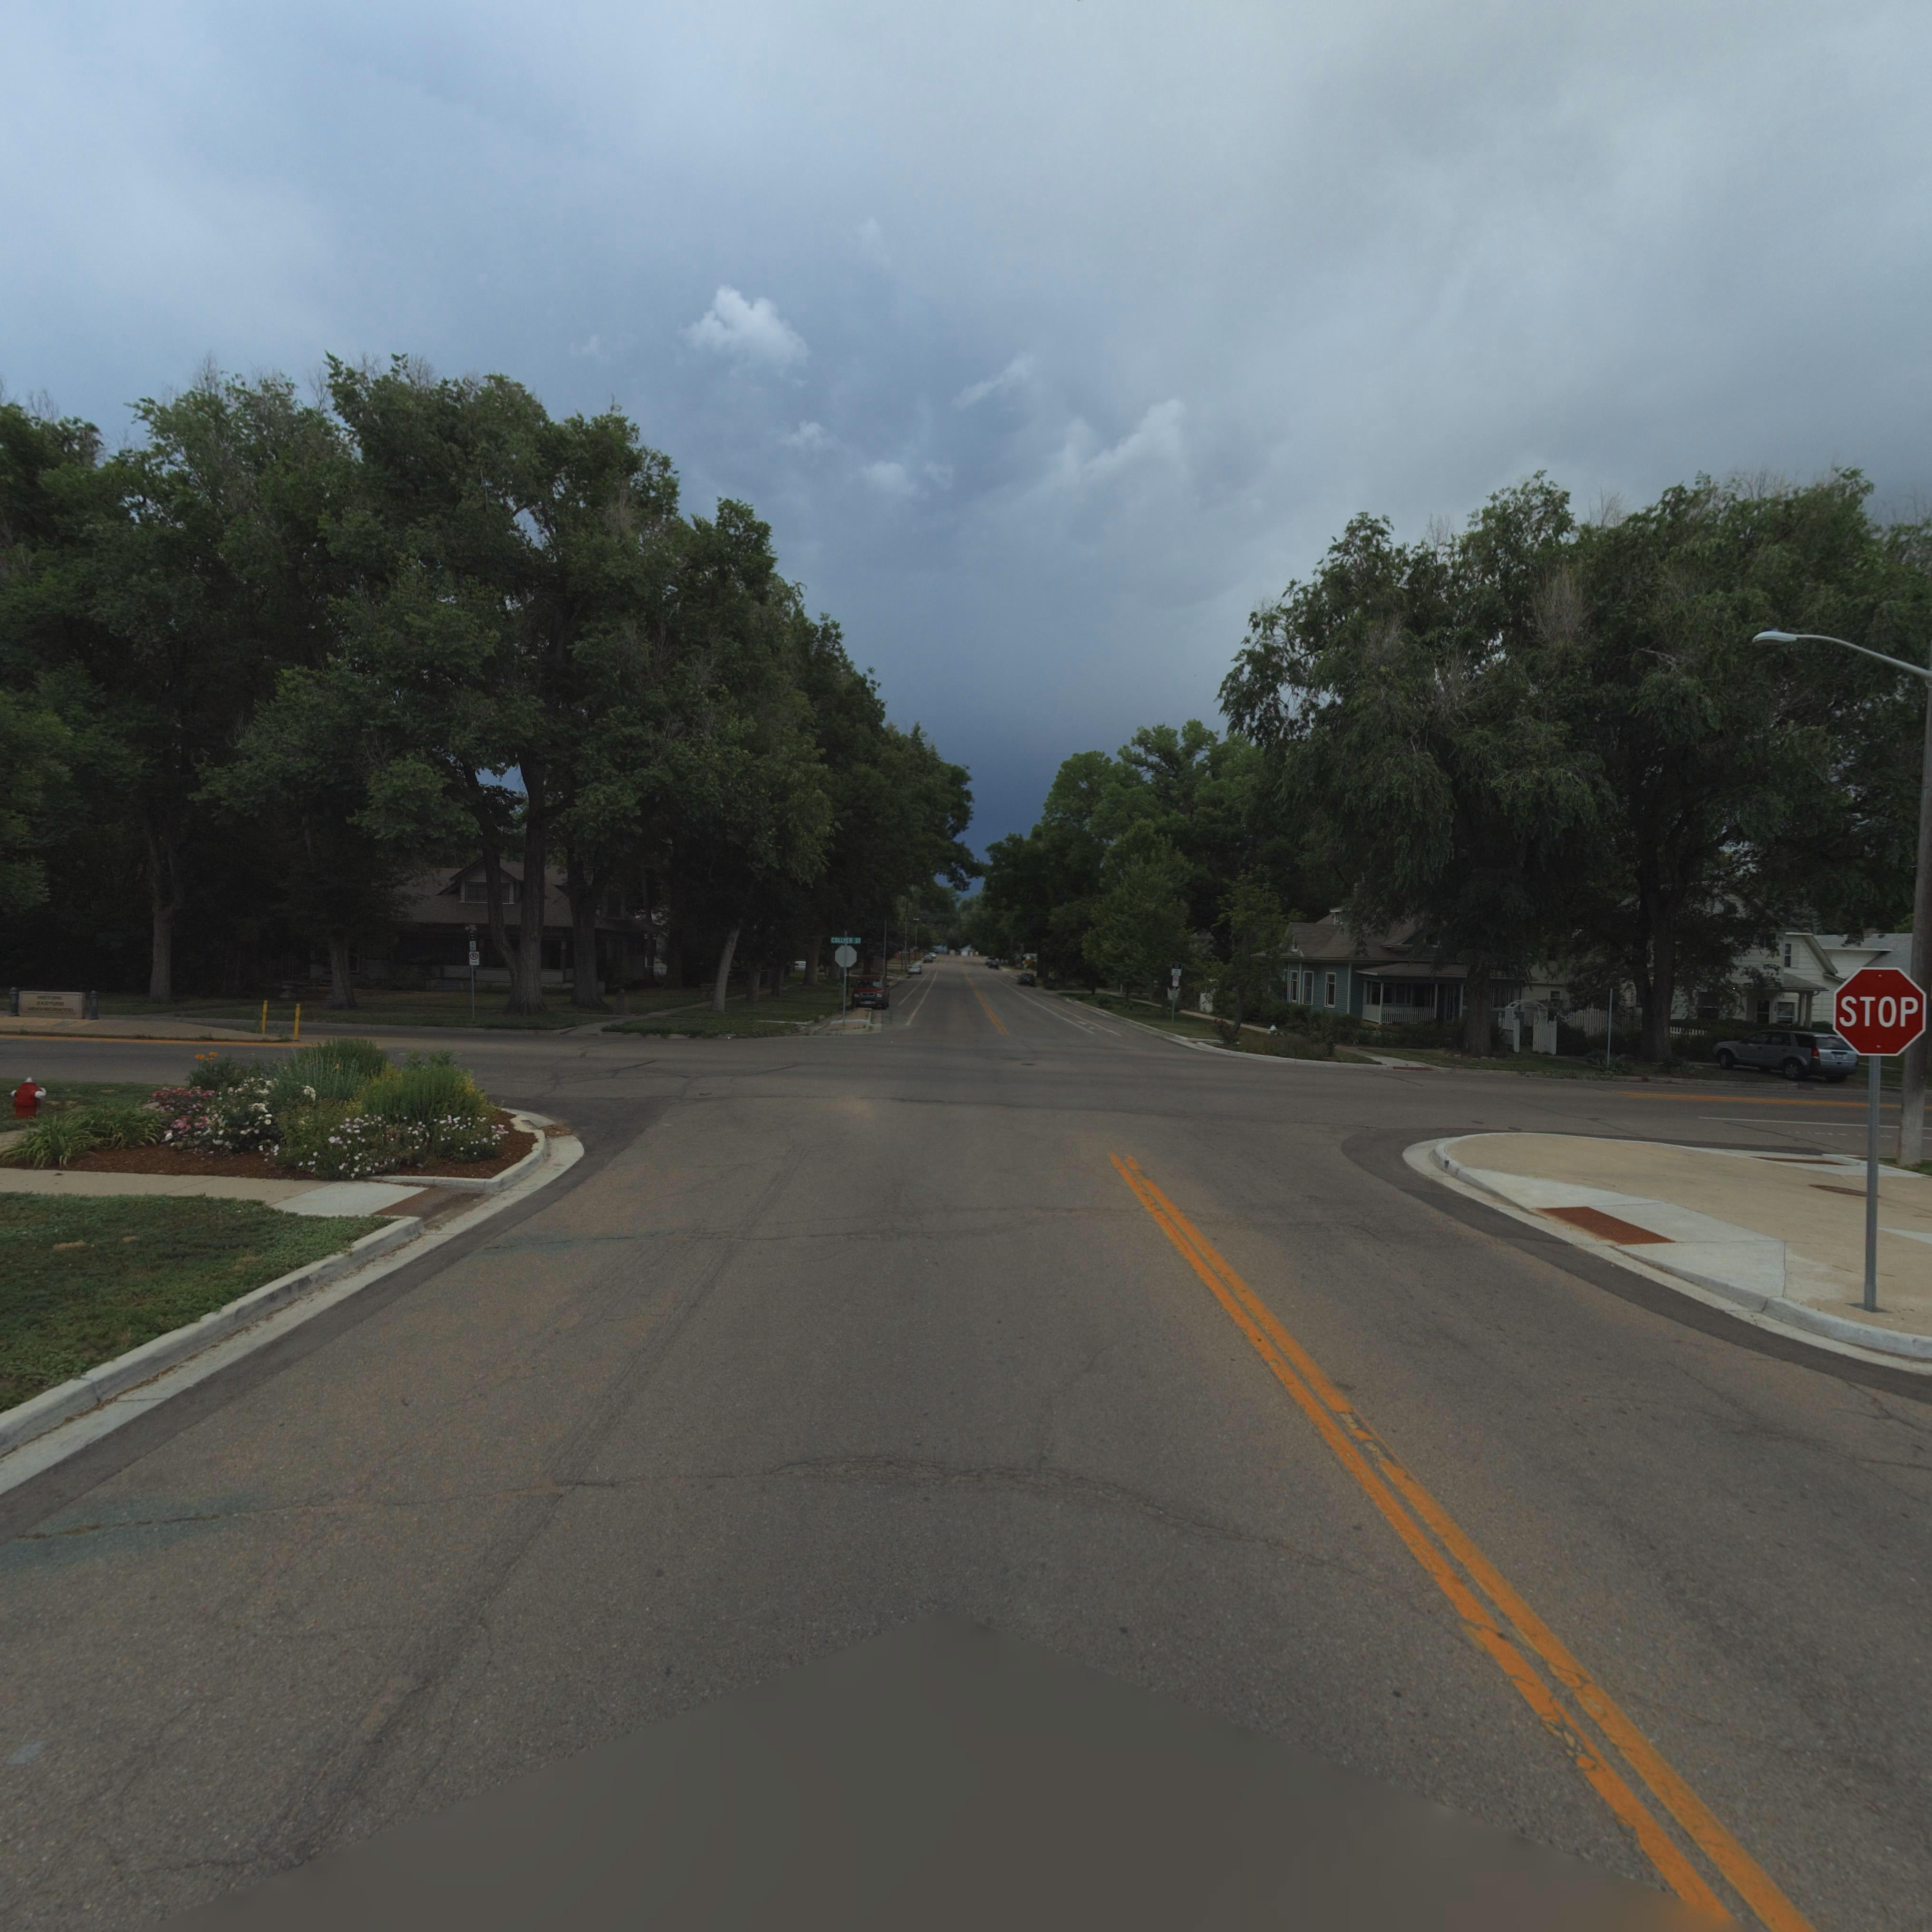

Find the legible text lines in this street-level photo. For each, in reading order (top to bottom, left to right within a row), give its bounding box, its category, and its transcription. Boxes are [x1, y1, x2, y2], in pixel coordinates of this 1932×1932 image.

[831, 937, 860, 943] StreetName: COLLYER ST